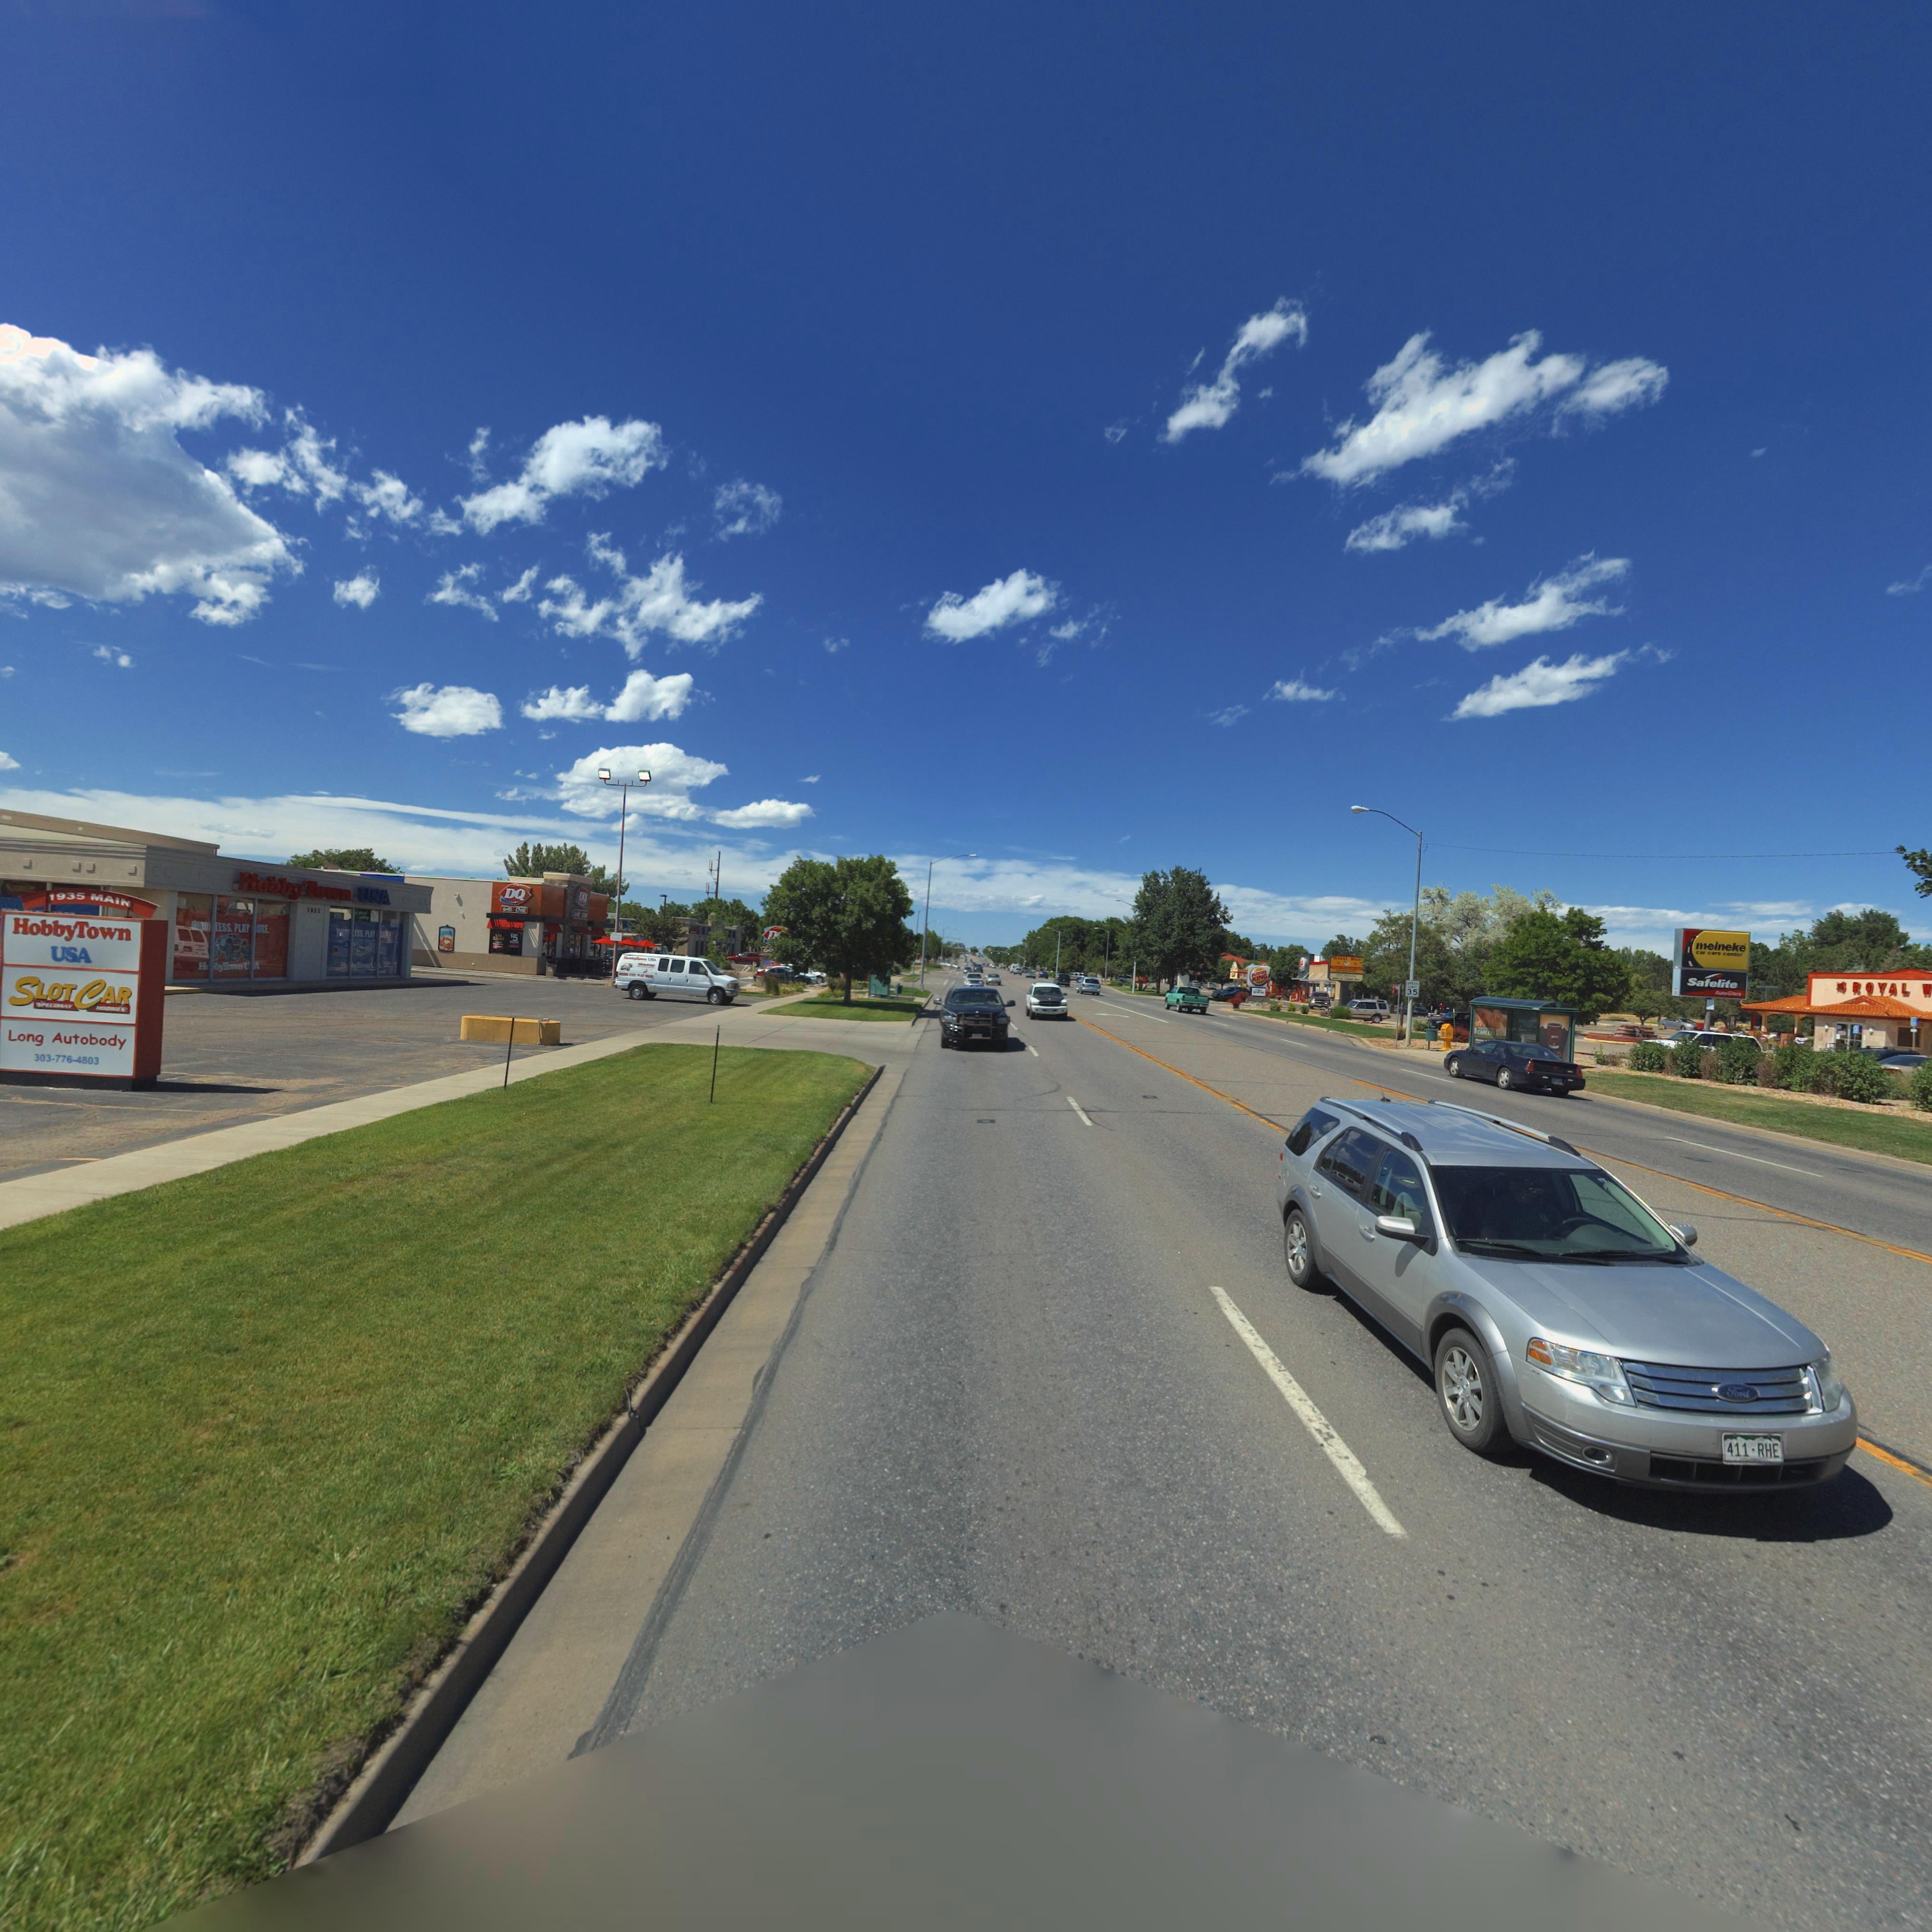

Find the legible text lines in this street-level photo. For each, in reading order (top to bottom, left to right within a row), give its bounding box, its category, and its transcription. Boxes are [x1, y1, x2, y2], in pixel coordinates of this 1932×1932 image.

[237, 870, 391, 906] BusinessName: HobbyTown USA
[49, 892, 86, 901] StreetNumber: 1935
[90, 892, 131, 908] StreetName: MAIN
[503, 888, 526, 901] BusinessName: DQ
[578, 891, 588, 902] BusinessName: DQ
[307, 907, 320, 913] StreetNumber: 1935
[11, 917, 132, 942] BusinessName: HobbyTown
[1695, 941, 1746, 952] BusinessName: meineke
[50, 945, 92, 964] BusinessName: USA
[1333, 956, 1362, 961] BusinessName: Royal Wok
[1695, 950, 1743, 956] BusinessName: car care center
[198, 961, 260, 972] BusinessName: H**byTown U*A
[340, 961, 382, 970] BusinessName: H**byTown U*A
[8, 975, 132, 1009] BusinessName: SLOT CAR
[1251, 970, 1267, 977] BusinessName: BURGER
[1252, 974, 1267, 982] BusinessName: KING
[1686, 977, 1738, 989] BusinessName: Safelite
[1715, 990, 1742, 996] BusinessName: AutoGlass
[1852, 981, 1931, 995] BusinessName: ROYAL W
[7, 1028, 126, 1051] BusinessName: Long Autobody